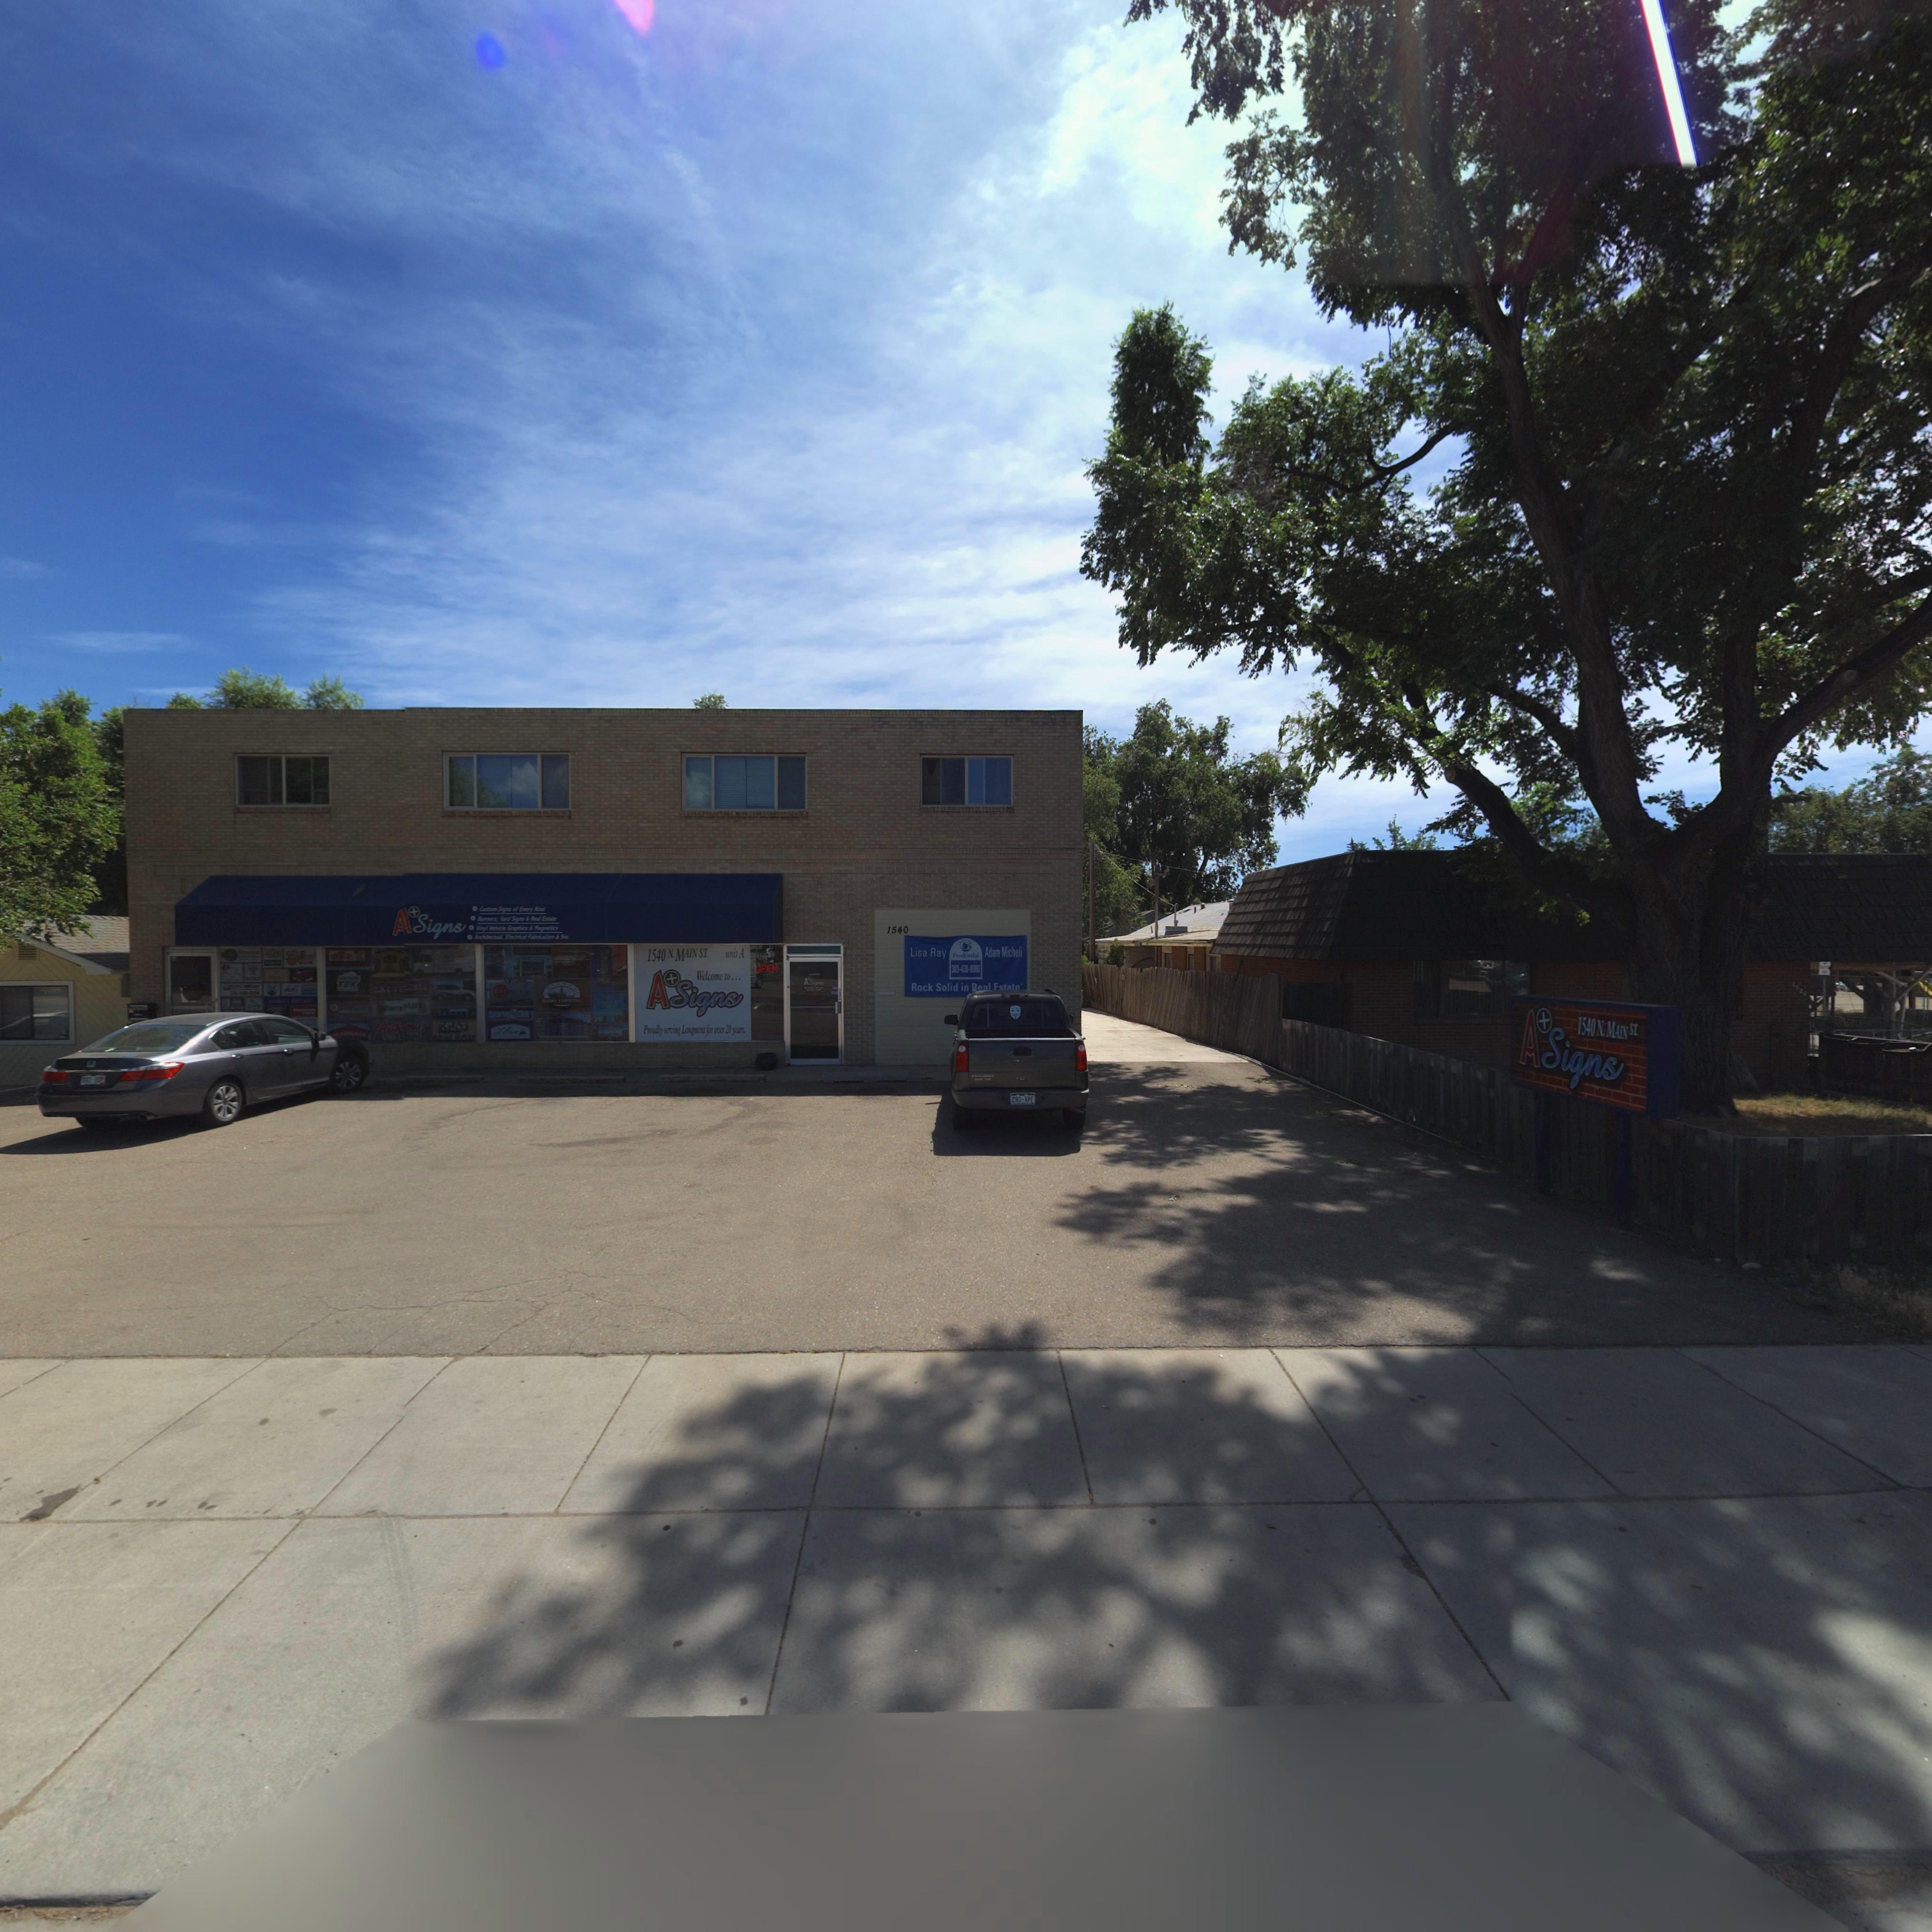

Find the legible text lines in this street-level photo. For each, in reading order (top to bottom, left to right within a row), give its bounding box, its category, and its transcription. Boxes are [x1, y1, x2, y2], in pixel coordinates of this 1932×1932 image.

[391, 904, 468, 940] BusinessName: A*Signs
[887, 926, 908, 934] StreetNumber: 1540
[647, 948, 667, 962] StreetNumber: 1540
[667, 948, 708, 961] StreetName: N. MAIN ST.
[725, 947, 744, 958] SecondaryUnitDesignator: unit A
[645, 967, 745, 1019] BusinessName: A*Signs
[803, 977, 823, 986] BusinessName: A Signs
[1792, 981, 1806, 997] StreetNumber: 153*
[1577, 1016, 1596, 1037] StreetNumber: 1540
[1596, 1020, 1638, 1040] StreetName: N. MAIN ST.
[1518, 1006, 1626, 1090] BusinessName: A*Signs